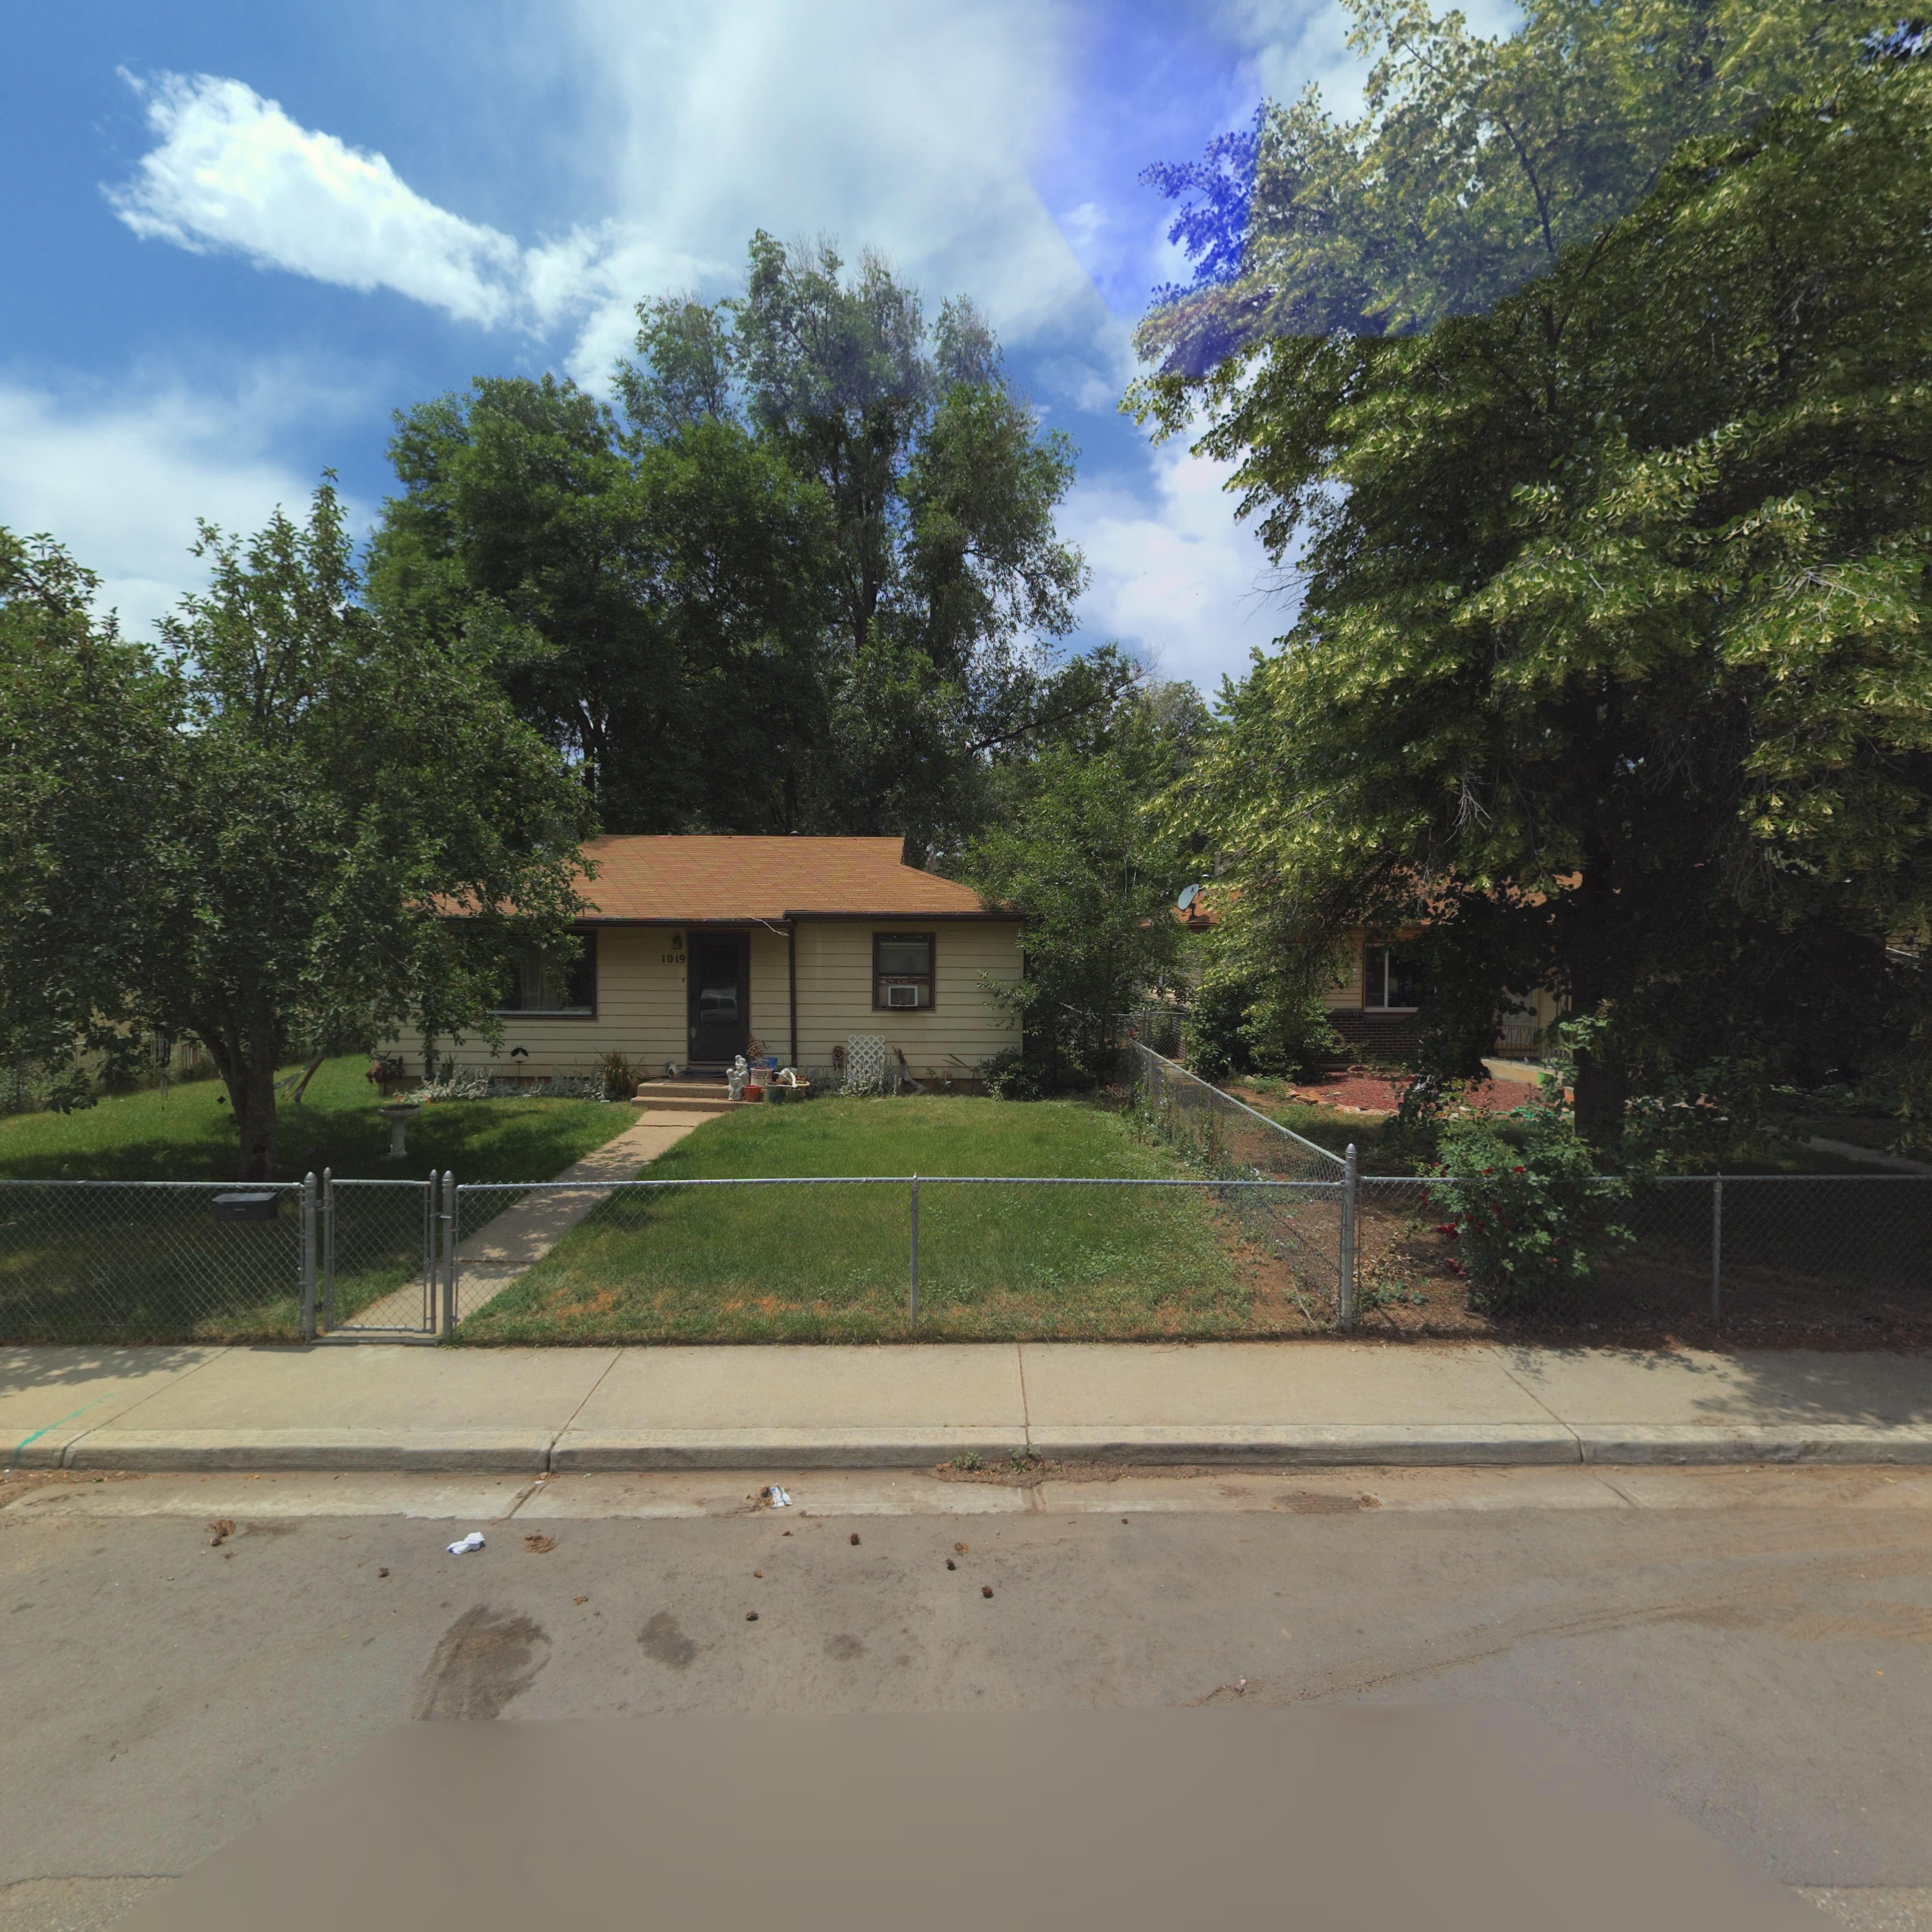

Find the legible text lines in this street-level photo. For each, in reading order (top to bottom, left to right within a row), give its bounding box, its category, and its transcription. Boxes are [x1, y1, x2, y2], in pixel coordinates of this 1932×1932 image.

[662, 954, 686, 963] StreetNumber: 1019